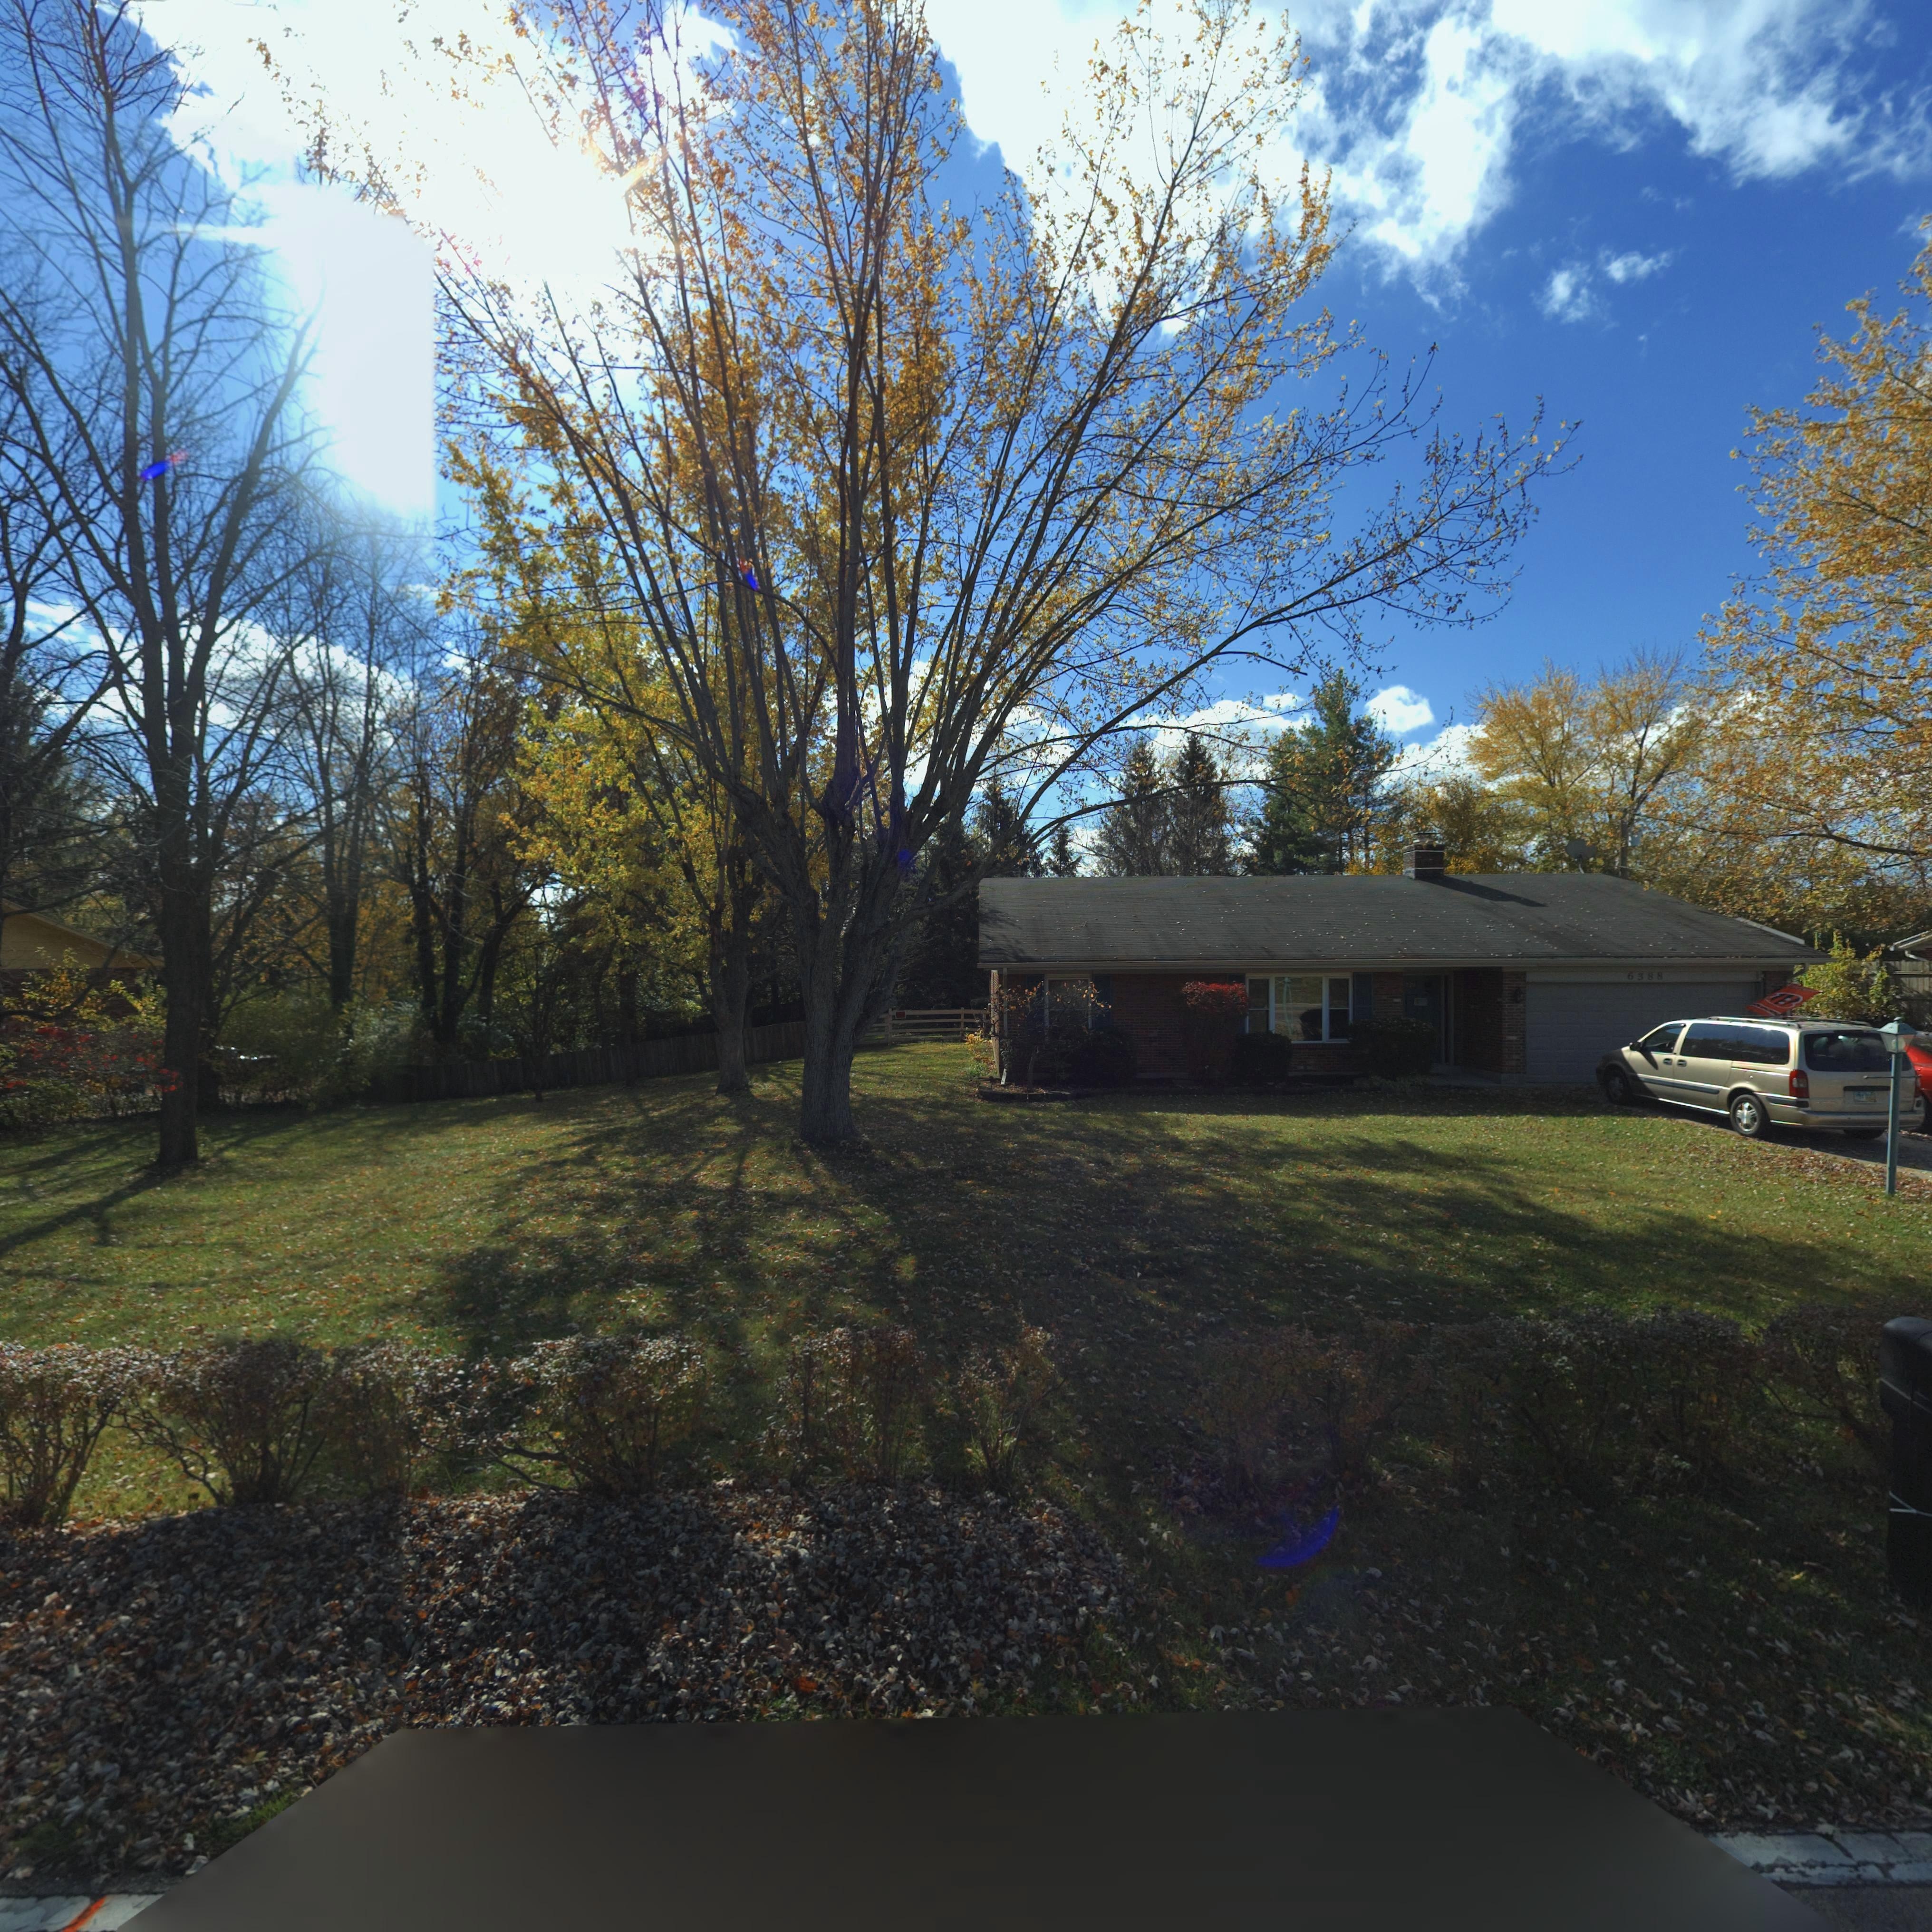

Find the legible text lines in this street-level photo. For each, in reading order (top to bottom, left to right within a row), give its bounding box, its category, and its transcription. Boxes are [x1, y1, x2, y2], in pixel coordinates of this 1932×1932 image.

[1627, 971, 1663, 980] StreetNumber: 6388